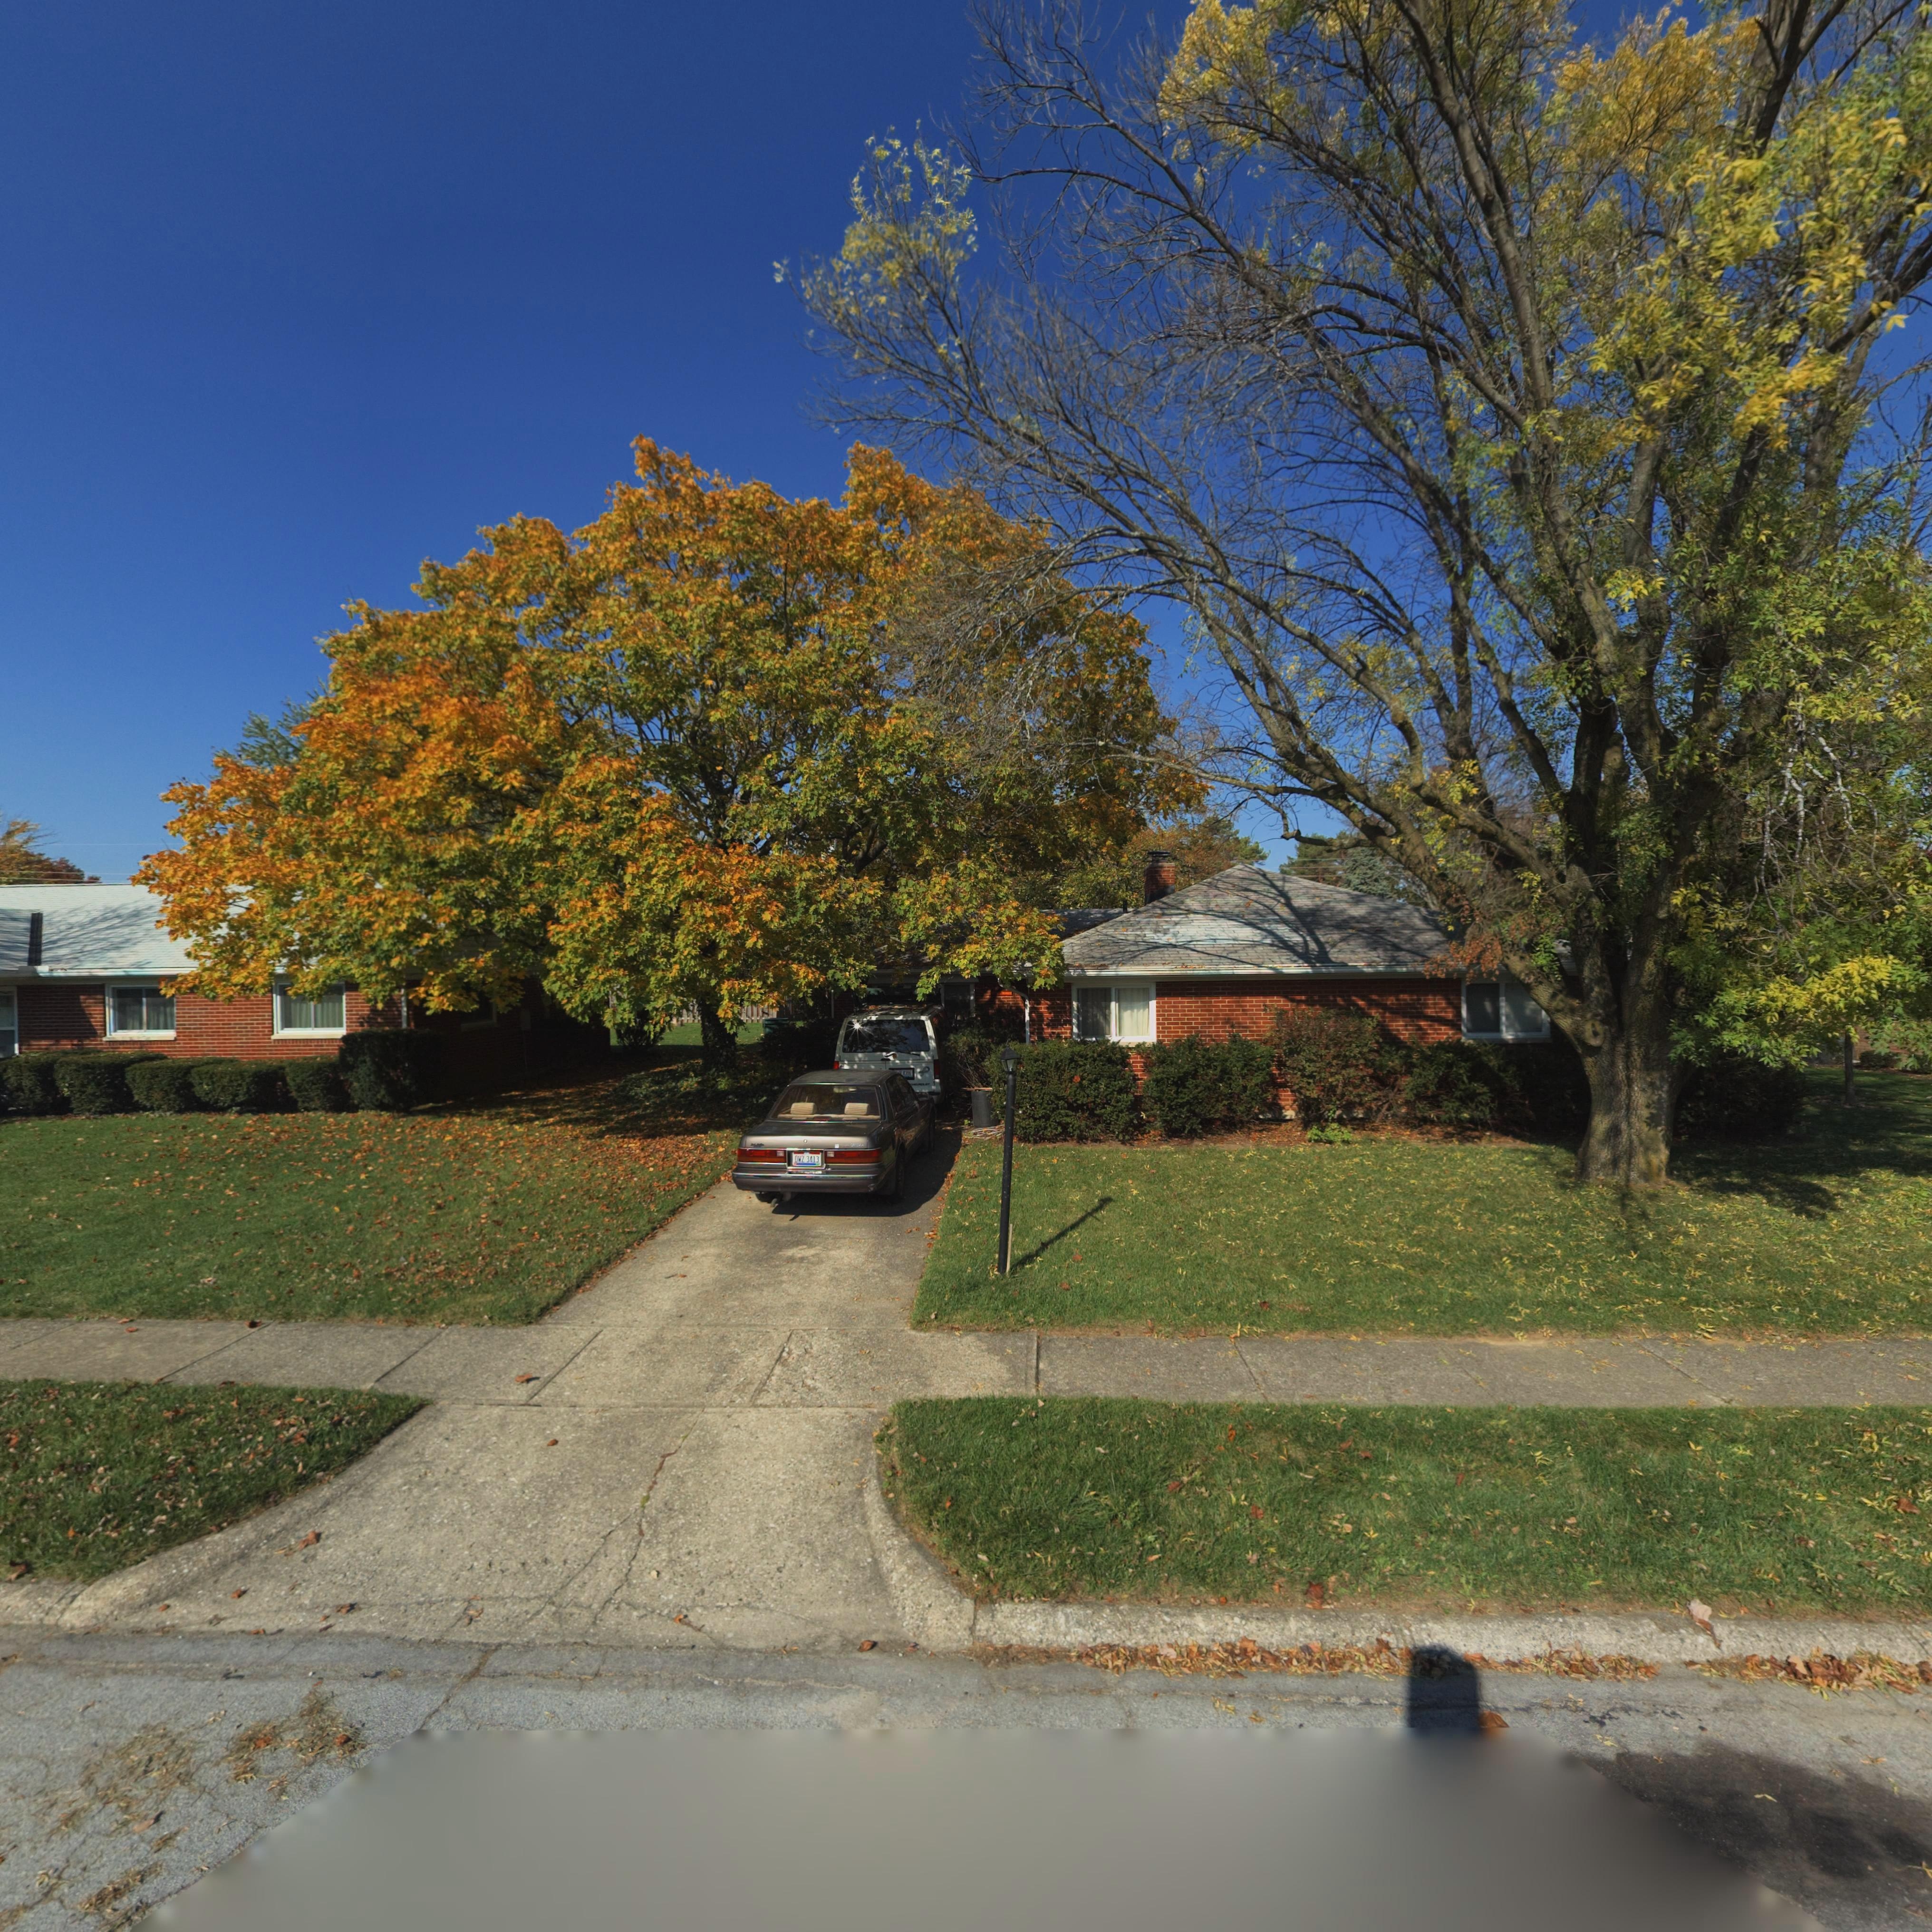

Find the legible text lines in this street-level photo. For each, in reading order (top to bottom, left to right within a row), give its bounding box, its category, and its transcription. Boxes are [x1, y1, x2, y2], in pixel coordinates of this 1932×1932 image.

[793, 1154, 821, 1164] None: *WZ 3413